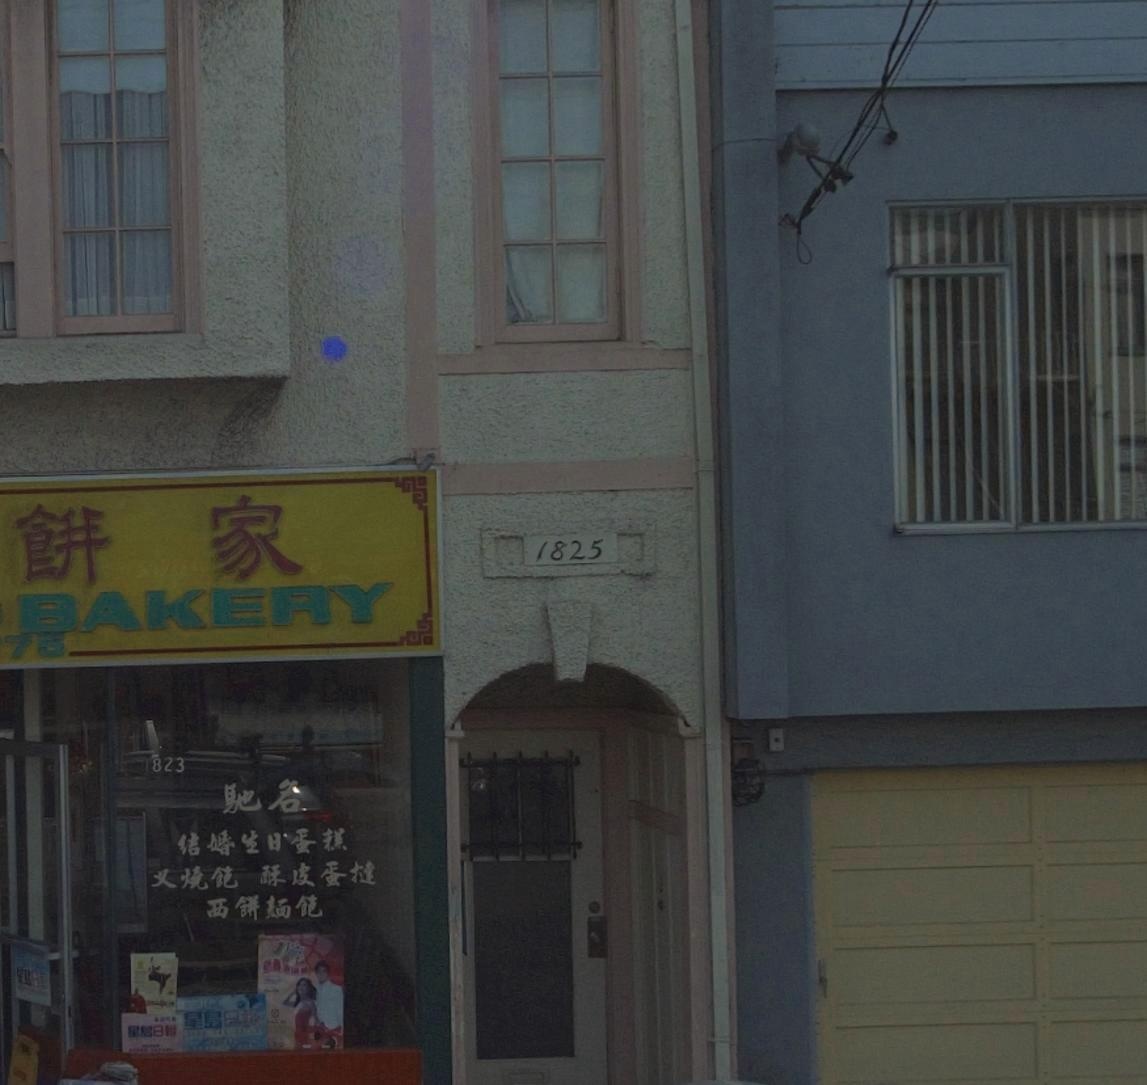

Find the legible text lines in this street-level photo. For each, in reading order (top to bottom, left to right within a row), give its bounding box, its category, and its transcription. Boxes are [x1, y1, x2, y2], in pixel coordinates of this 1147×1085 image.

[532, 537, 606, 563] StreetNumber: 1825
[15, 579, 401, 638] None: BAKERY
[2, 630, 70, 661] None: 75
[150, 755, 187, 775] None: 823